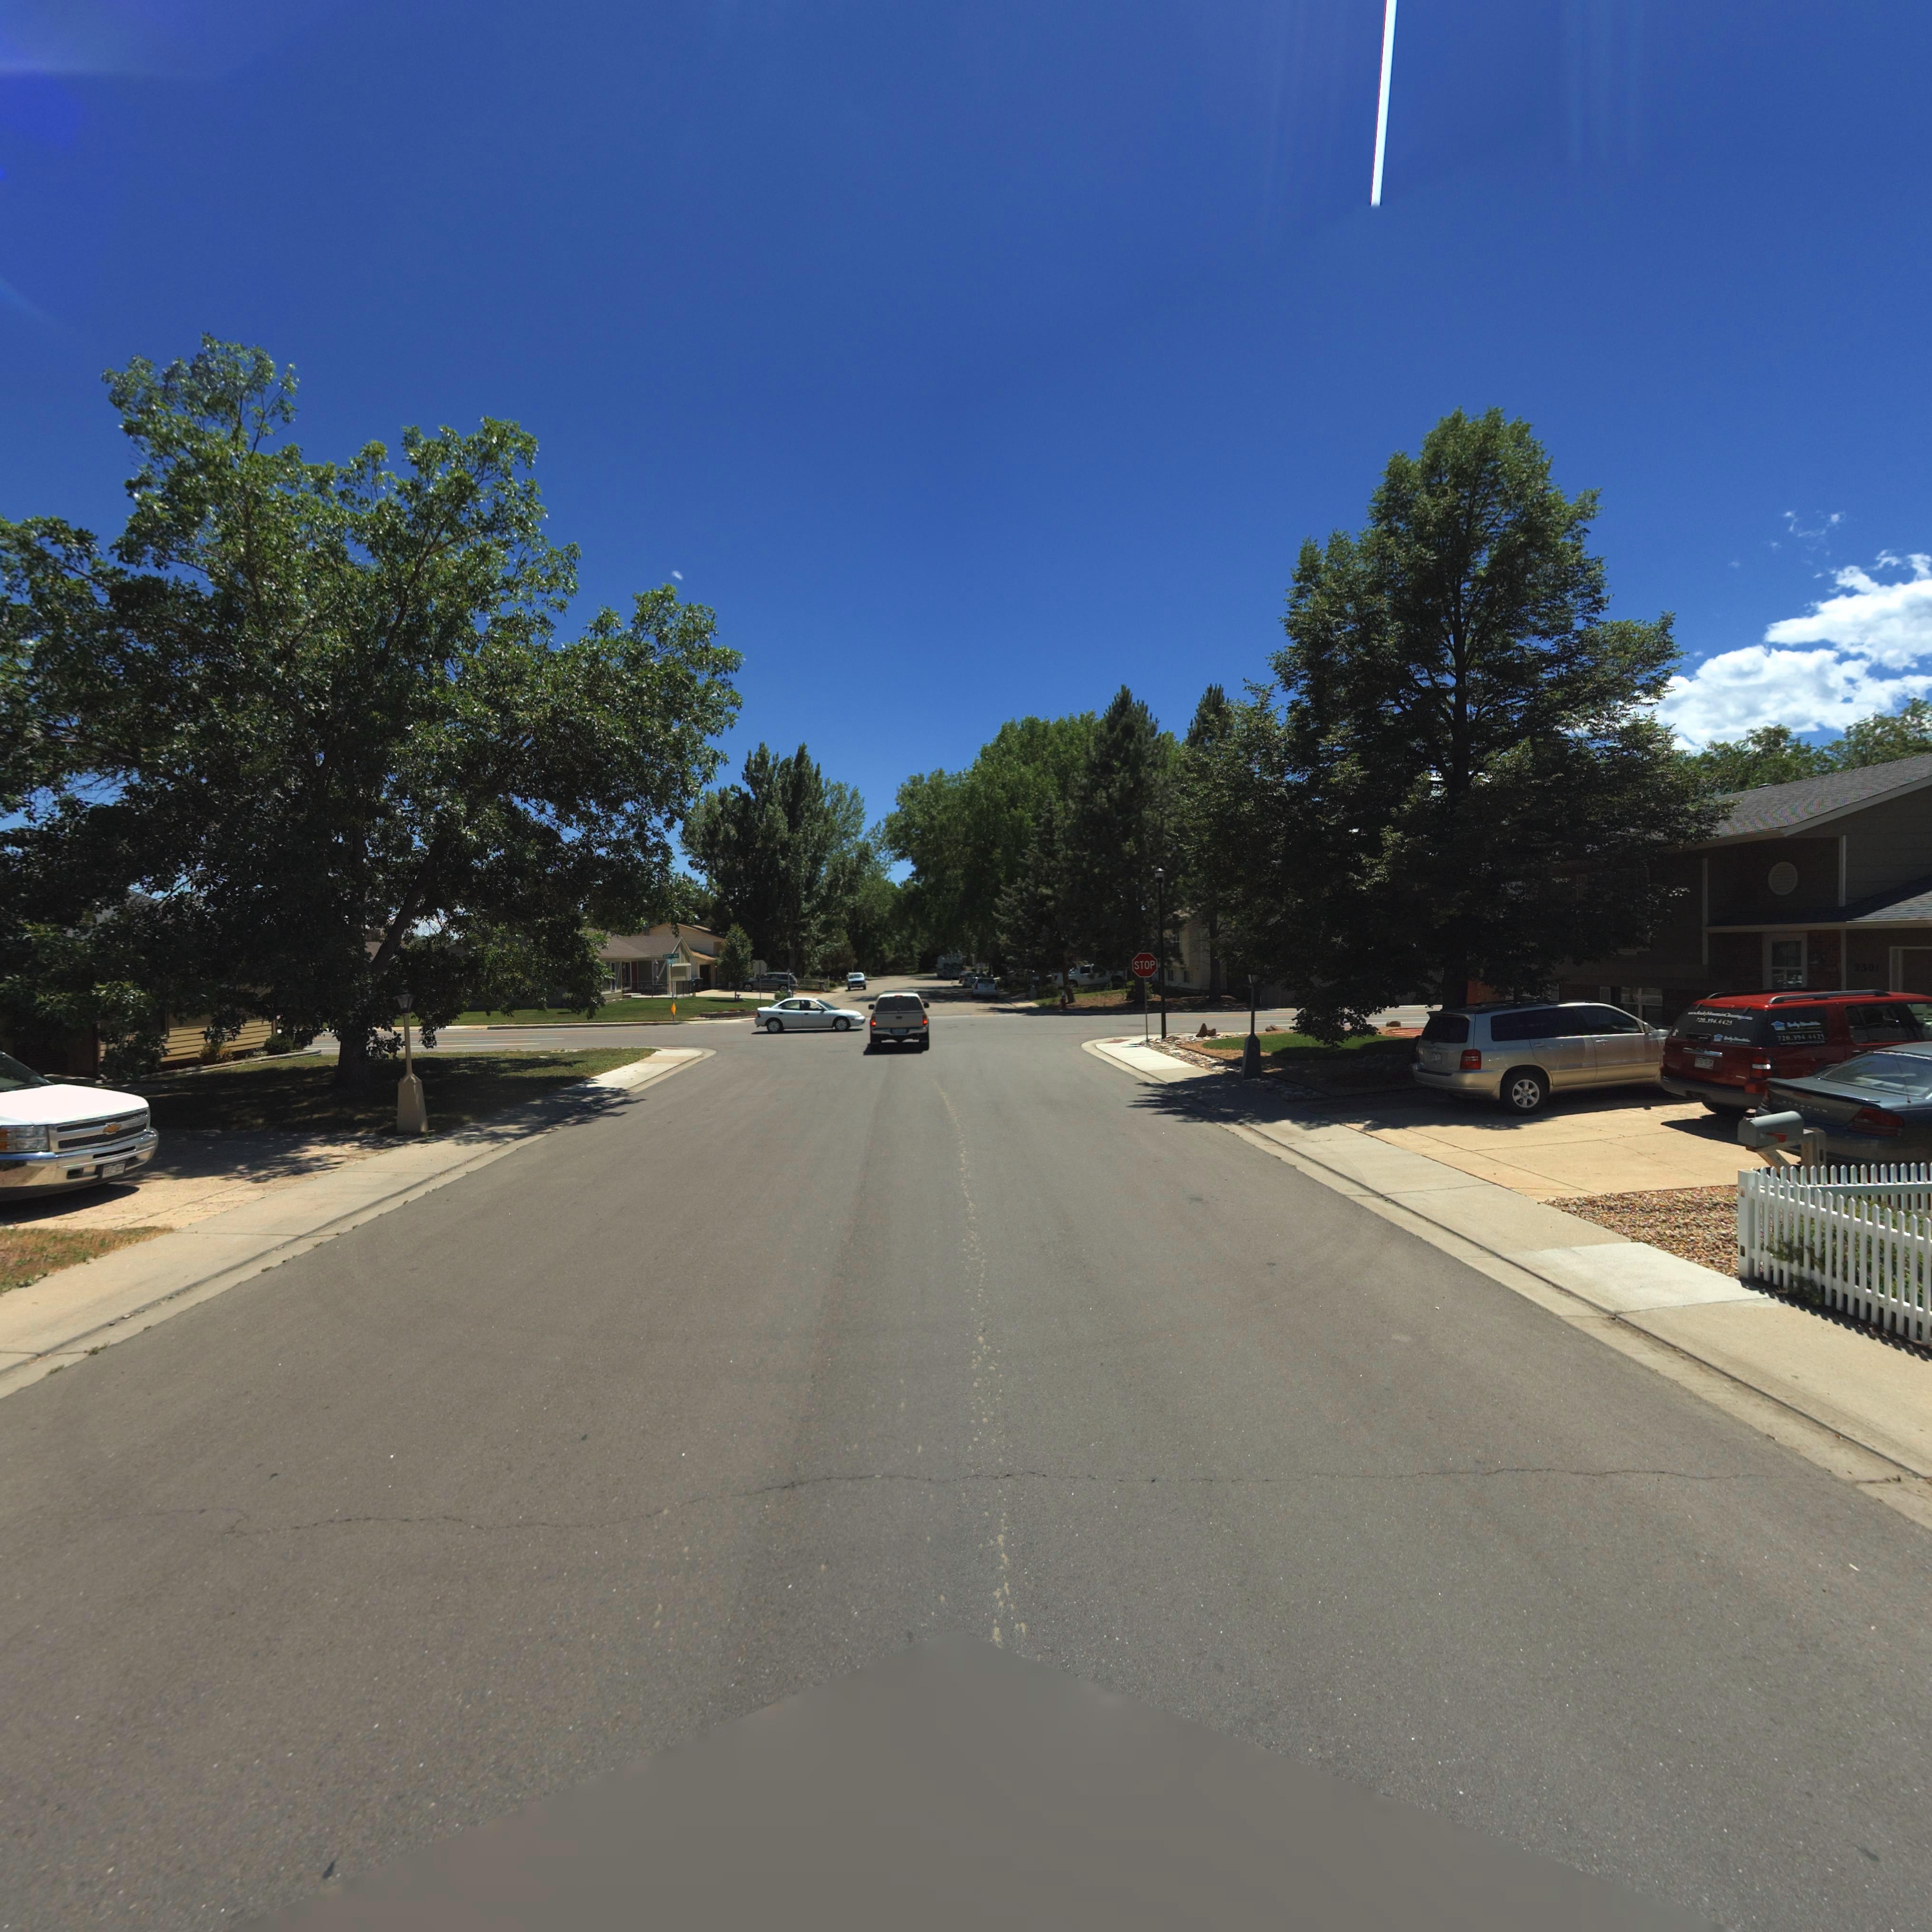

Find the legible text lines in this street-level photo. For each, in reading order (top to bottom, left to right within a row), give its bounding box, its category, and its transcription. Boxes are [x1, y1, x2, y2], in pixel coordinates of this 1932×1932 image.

[1853, 963, 1879, 972] StreetNumber: 2301